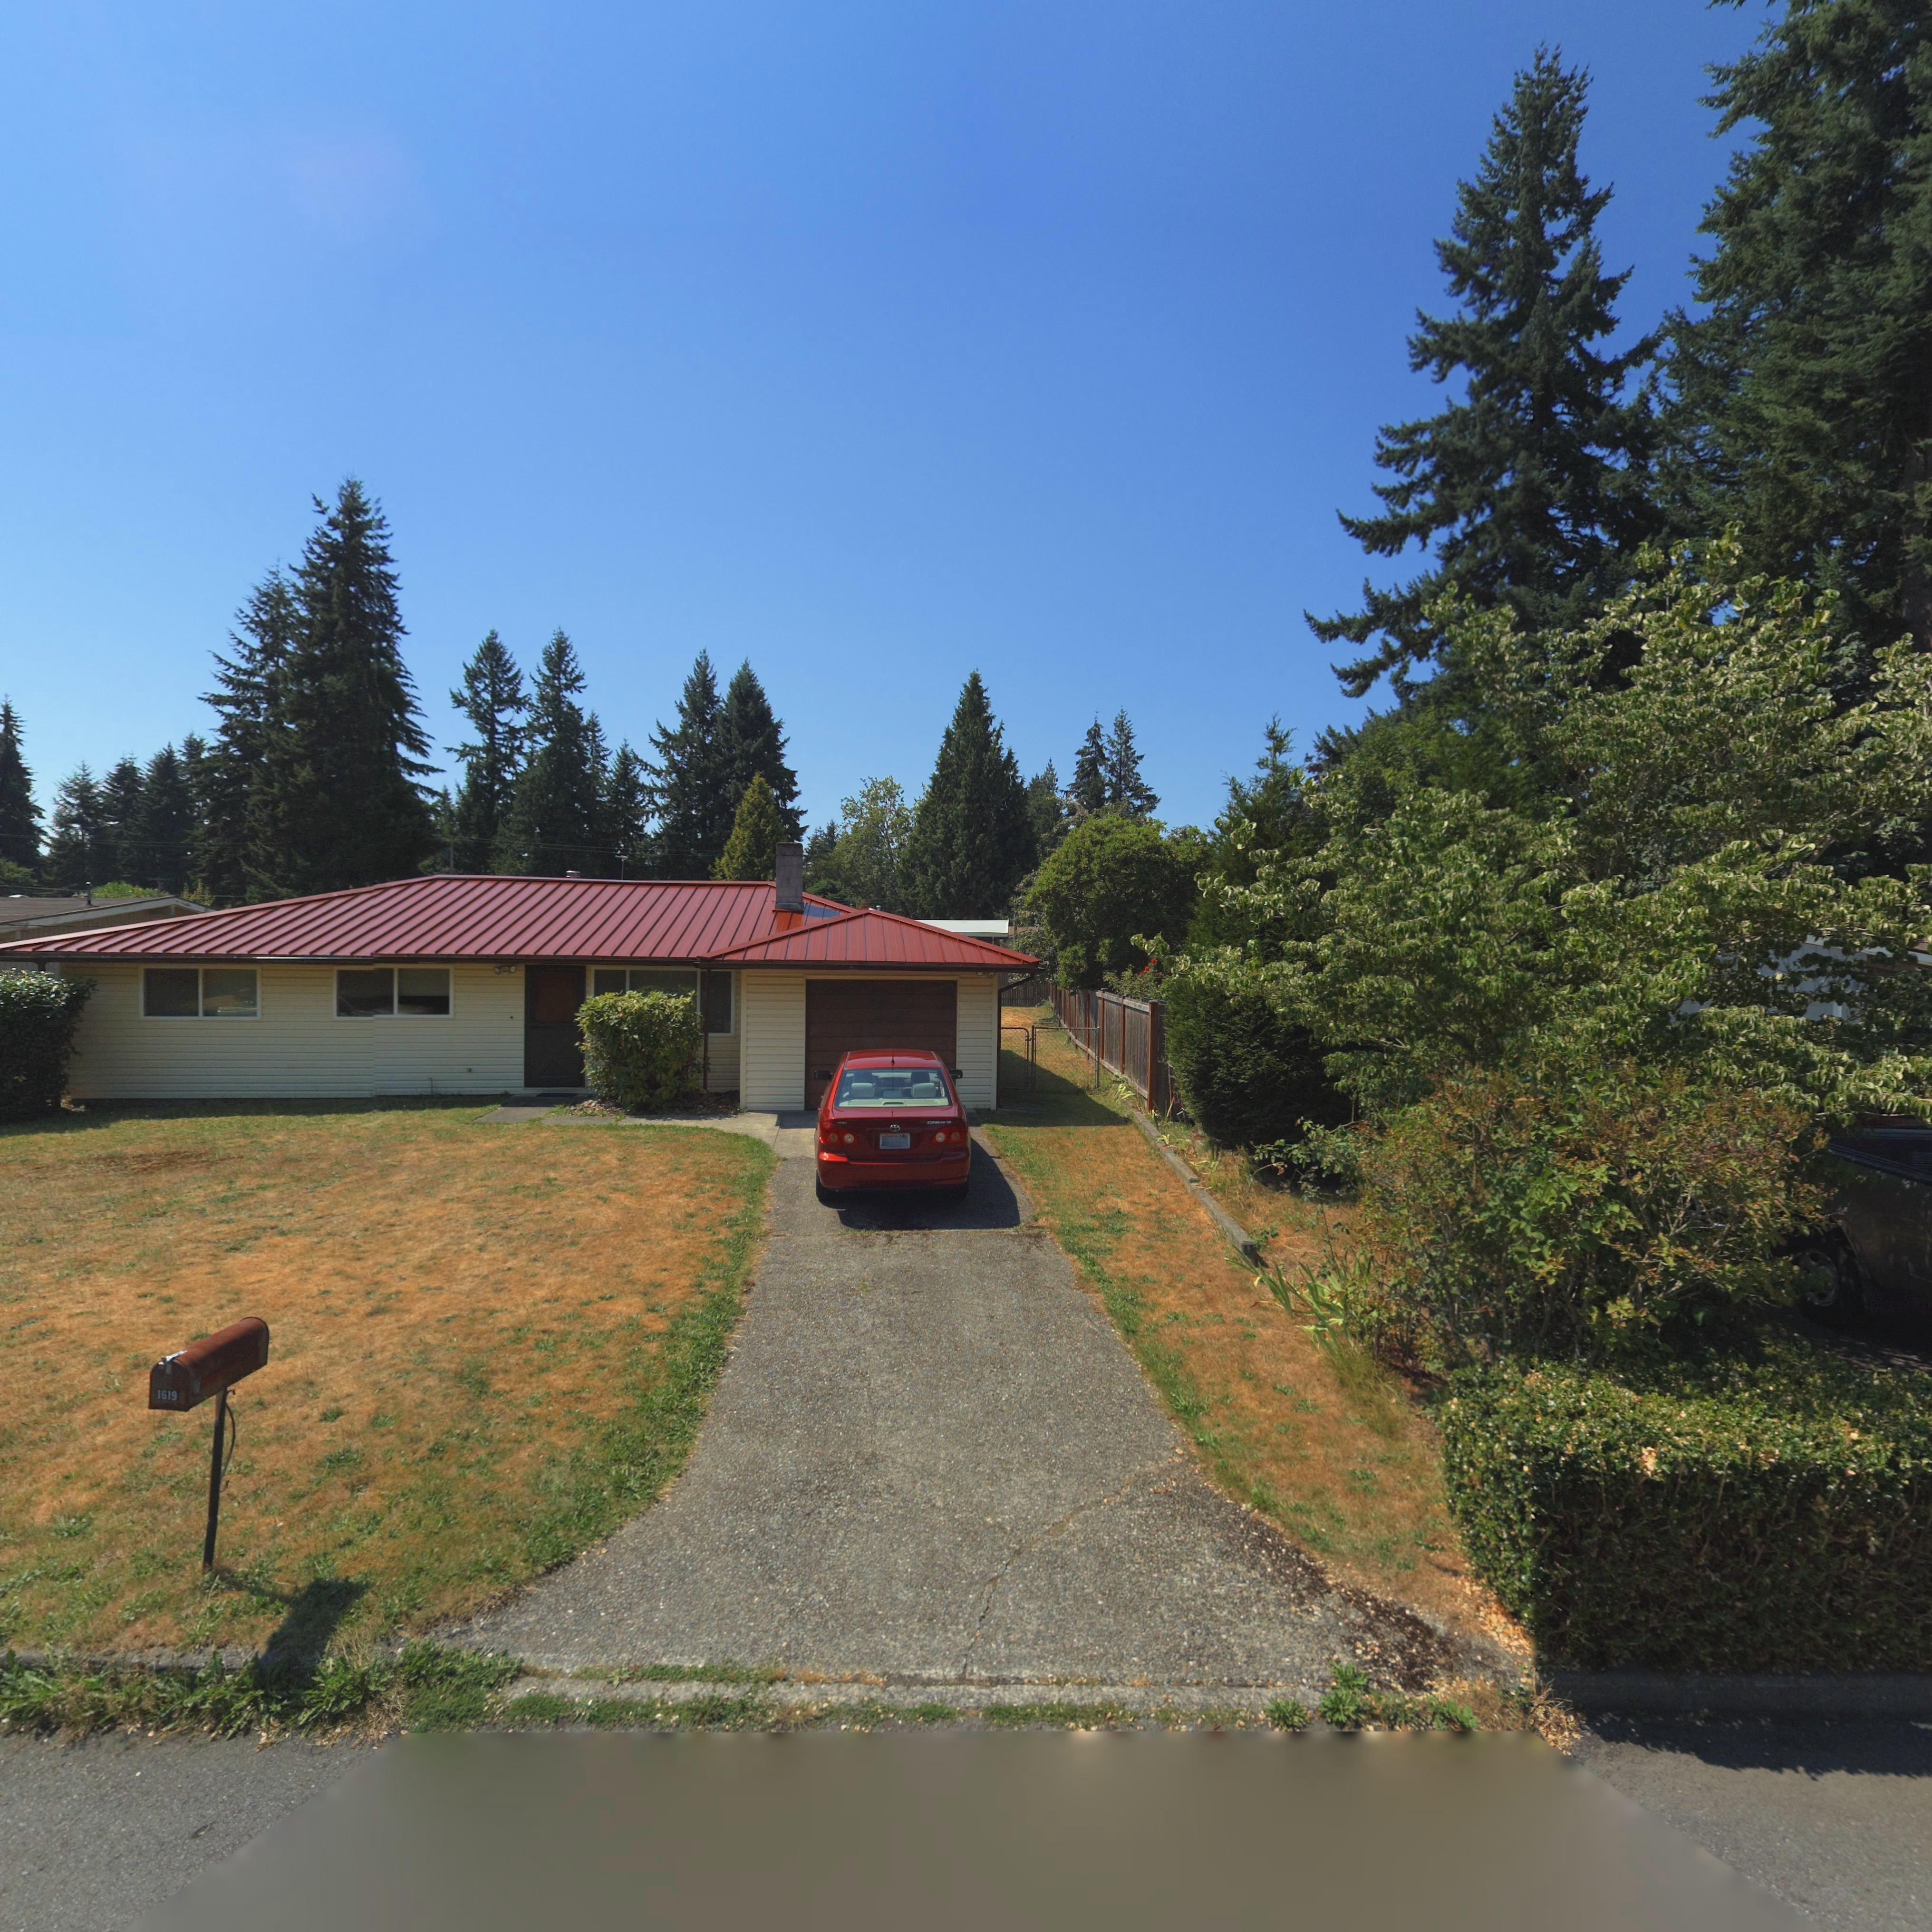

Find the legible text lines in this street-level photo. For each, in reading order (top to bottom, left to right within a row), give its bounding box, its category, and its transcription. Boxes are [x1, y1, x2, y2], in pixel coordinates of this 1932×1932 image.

[157, 1390, 177, 1400] StreetNumber: 1619